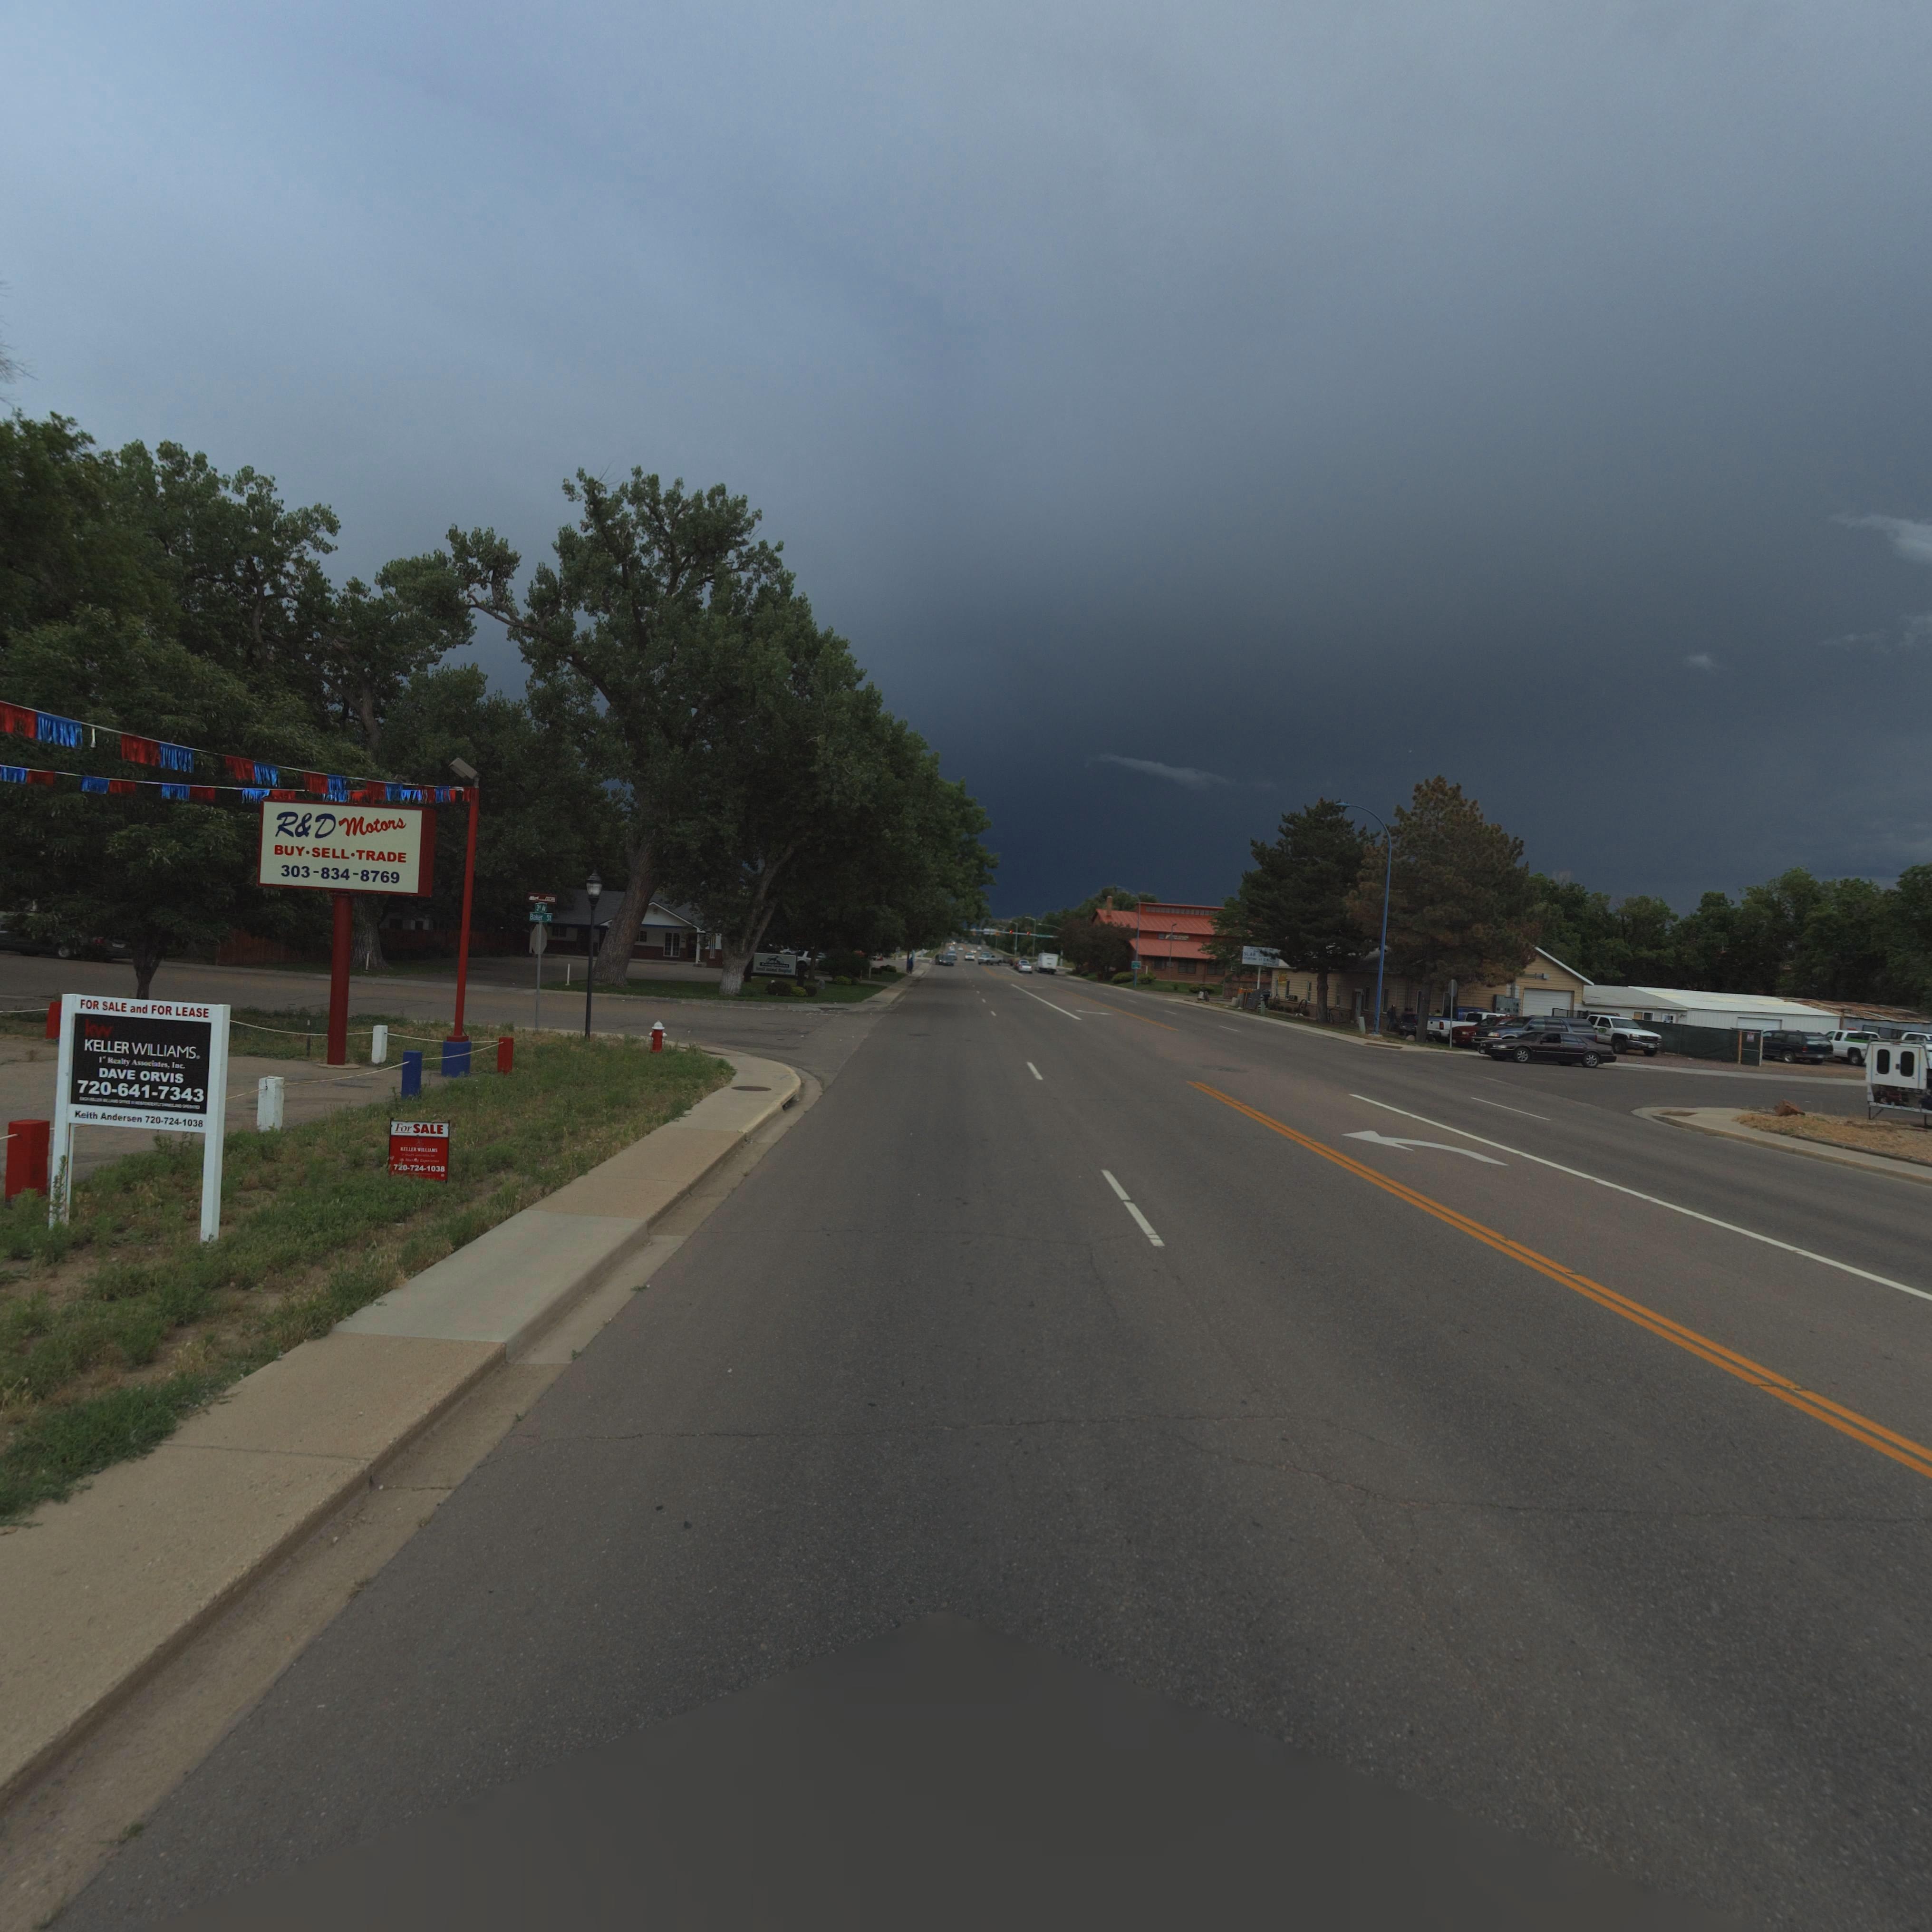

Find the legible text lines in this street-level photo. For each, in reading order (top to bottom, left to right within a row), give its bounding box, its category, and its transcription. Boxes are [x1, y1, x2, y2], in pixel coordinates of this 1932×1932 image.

[274, 811, 336, 839] BusinessName: R*D
[338, 815, 406, 837] BusinessName: Motors
[530, 913, 551, 921] BusinessName: Baker St
[536, 904, 546, 911] StreetName: 3*d Av